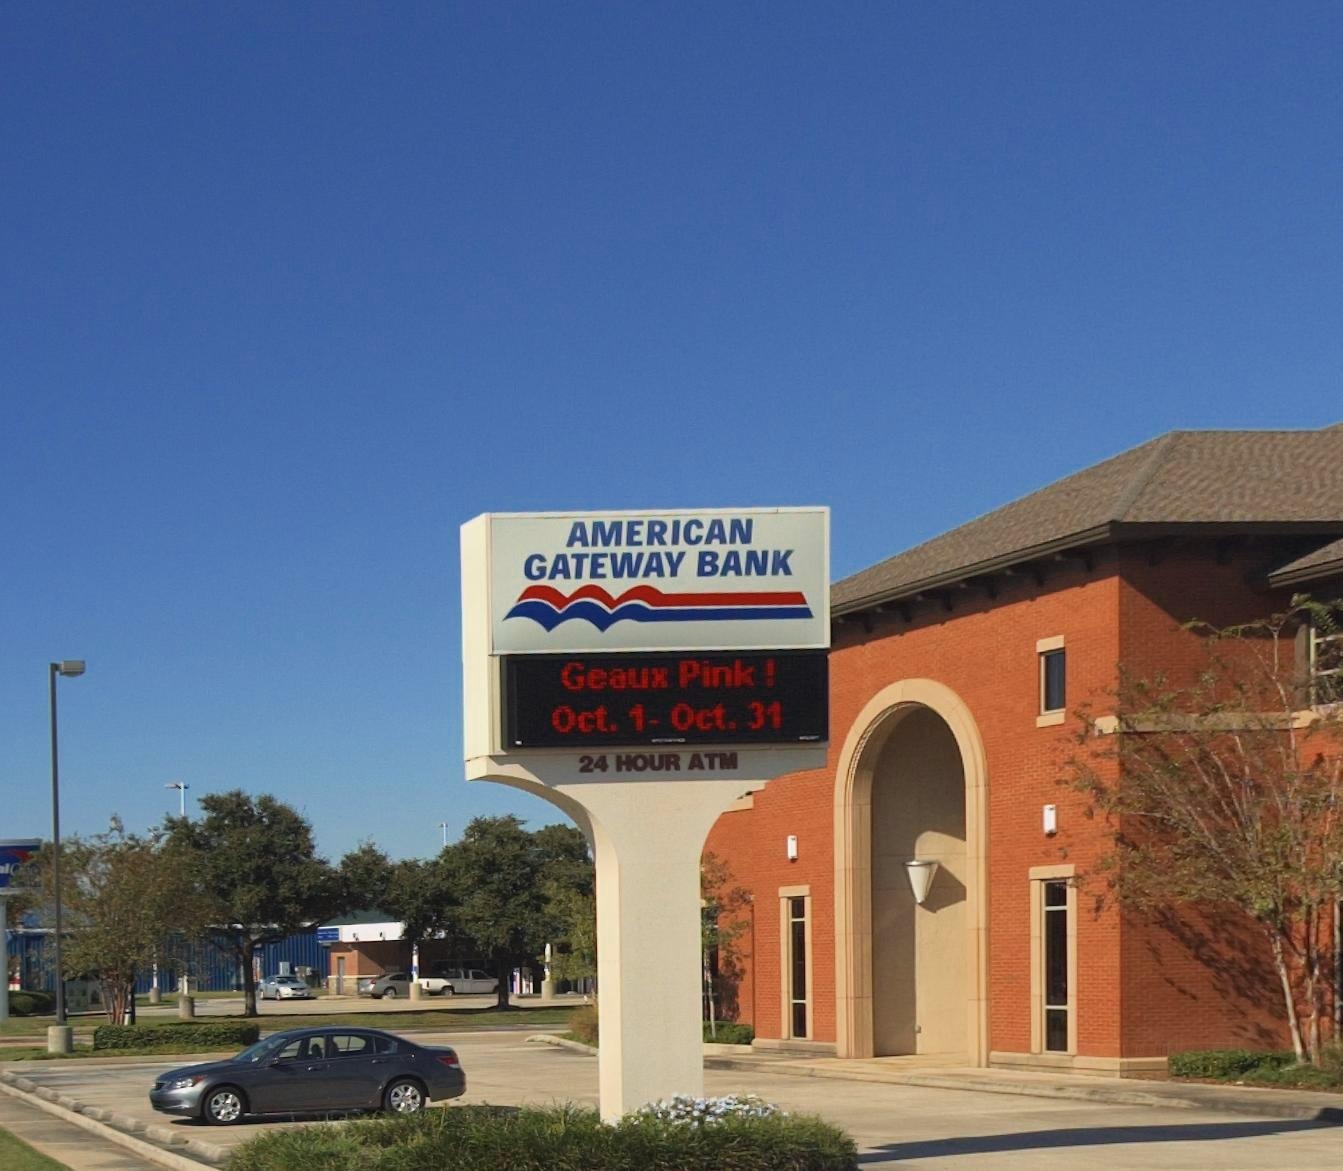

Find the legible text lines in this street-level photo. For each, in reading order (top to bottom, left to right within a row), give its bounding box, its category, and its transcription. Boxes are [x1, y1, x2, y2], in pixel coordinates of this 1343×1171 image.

[561, 514, 756, 550] BusinessName: AMERICAN
[520, 547, 799, 583] BusinessName: GATEWAY BANK
[558, 656, 777, 693] None: Geaux Pink !
[548, 697, 787, 737] None: Oct. 1-Oct. 31
[575, 749, 741, 775] None: 24 HOUR ATM
[1, 860, 13, 877] None: l